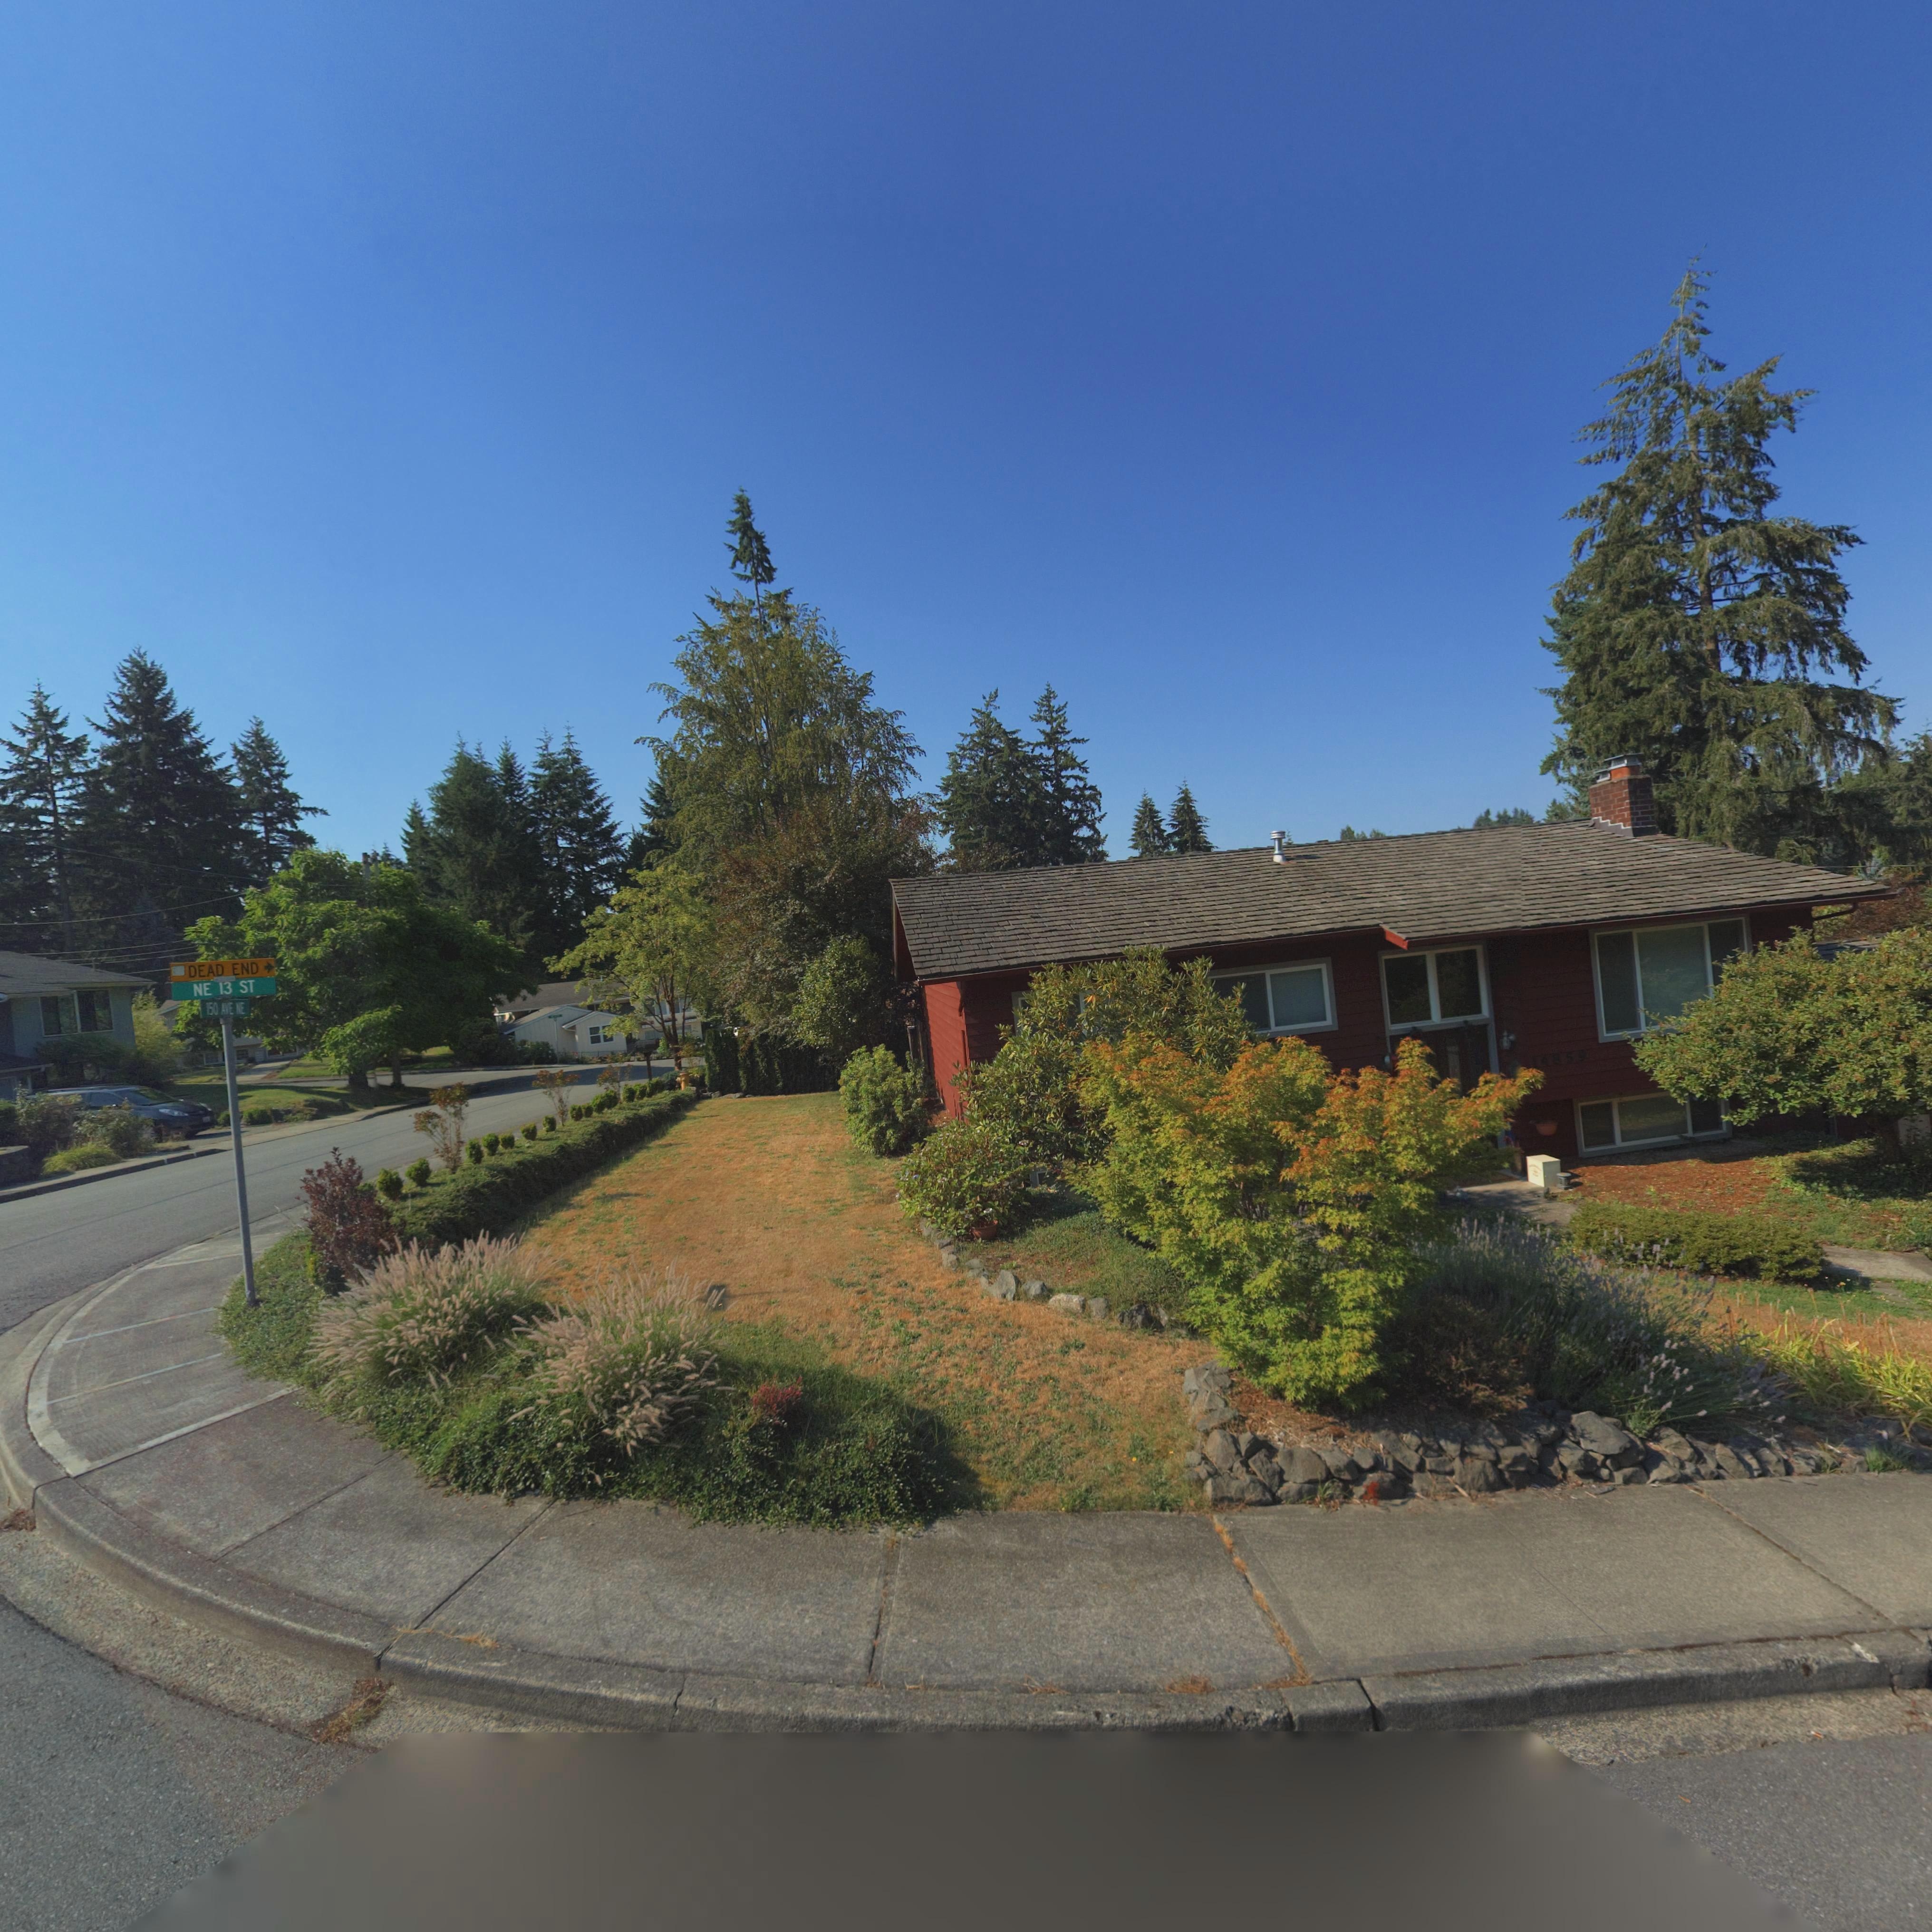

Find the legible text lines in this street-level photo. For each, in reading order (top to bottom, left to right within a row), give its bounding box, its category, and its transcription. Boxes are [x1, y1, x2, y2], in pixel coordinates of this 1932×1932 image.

[185, 960, 261, 979] None: DEAD END
[193, 980, 254, 997] StreetName: NE 13 ST
[207, 1002, 244, 1014] StreetName: 150 AVE NE